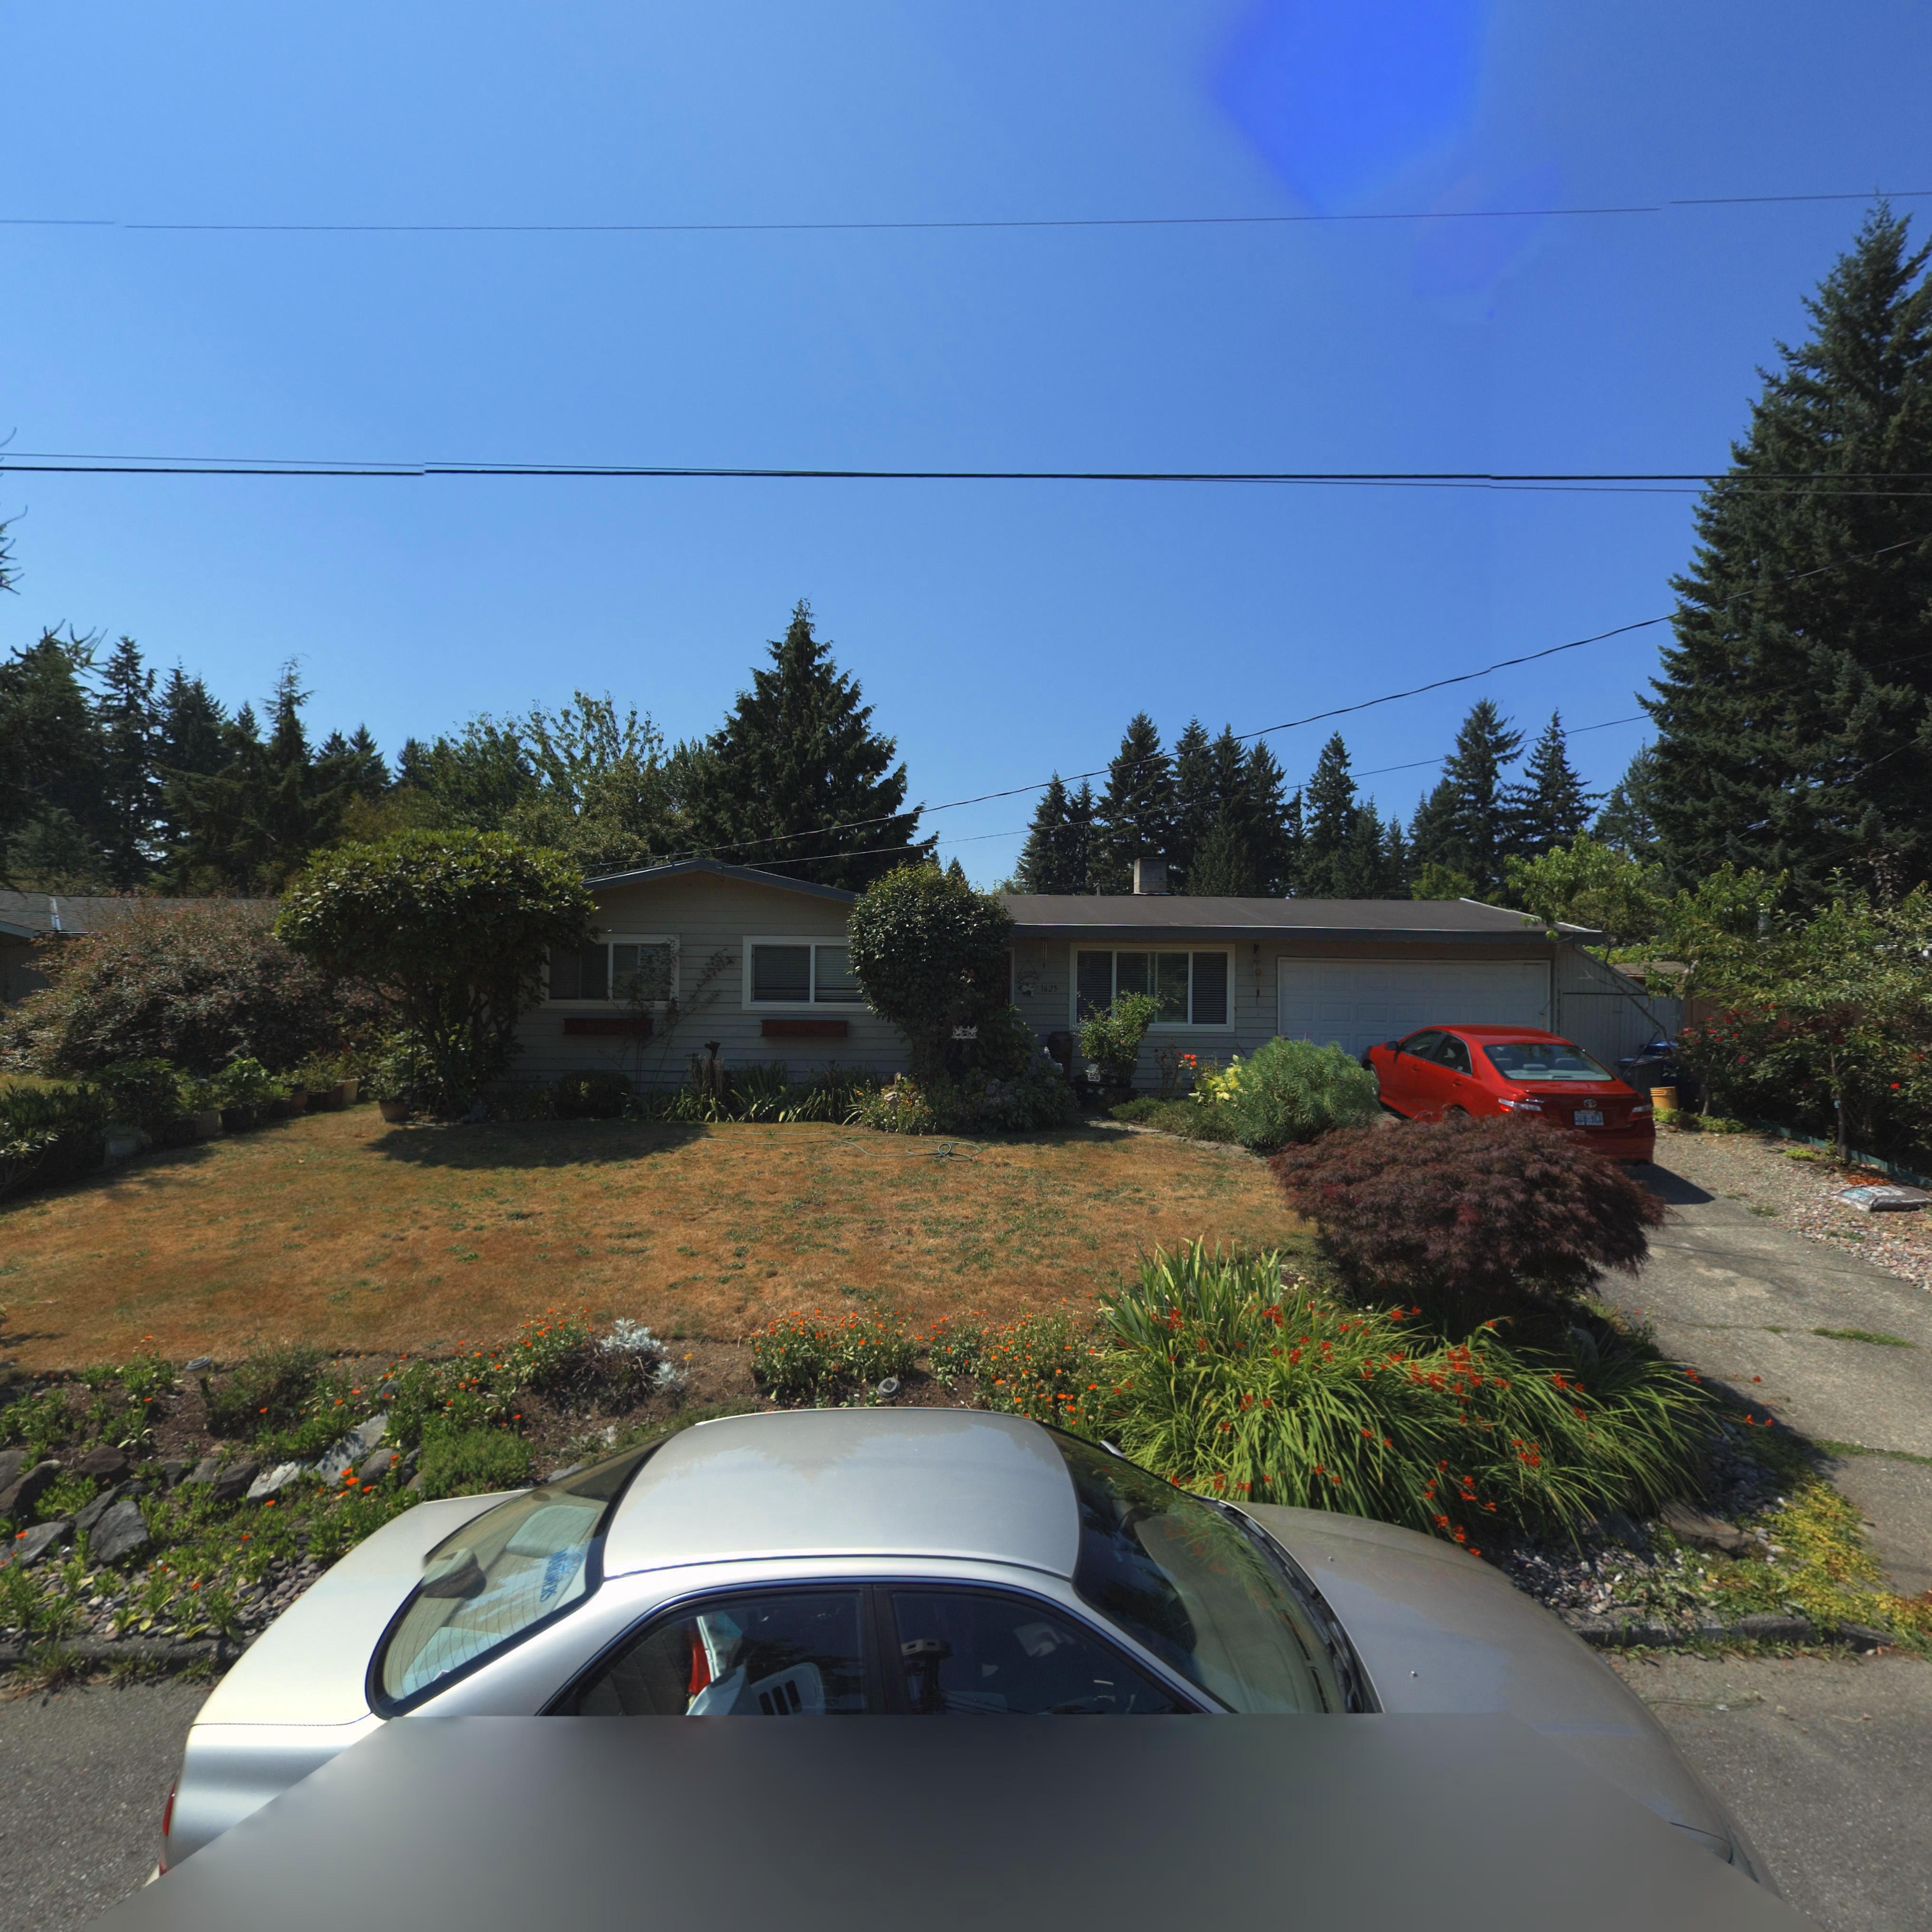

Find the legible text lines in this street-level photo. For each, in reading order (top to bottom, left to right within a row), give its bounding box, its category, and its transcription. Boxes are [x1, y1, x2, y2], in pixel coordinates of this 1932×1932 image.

[1040, 984, 1058, 994] StreetNumber: 1625